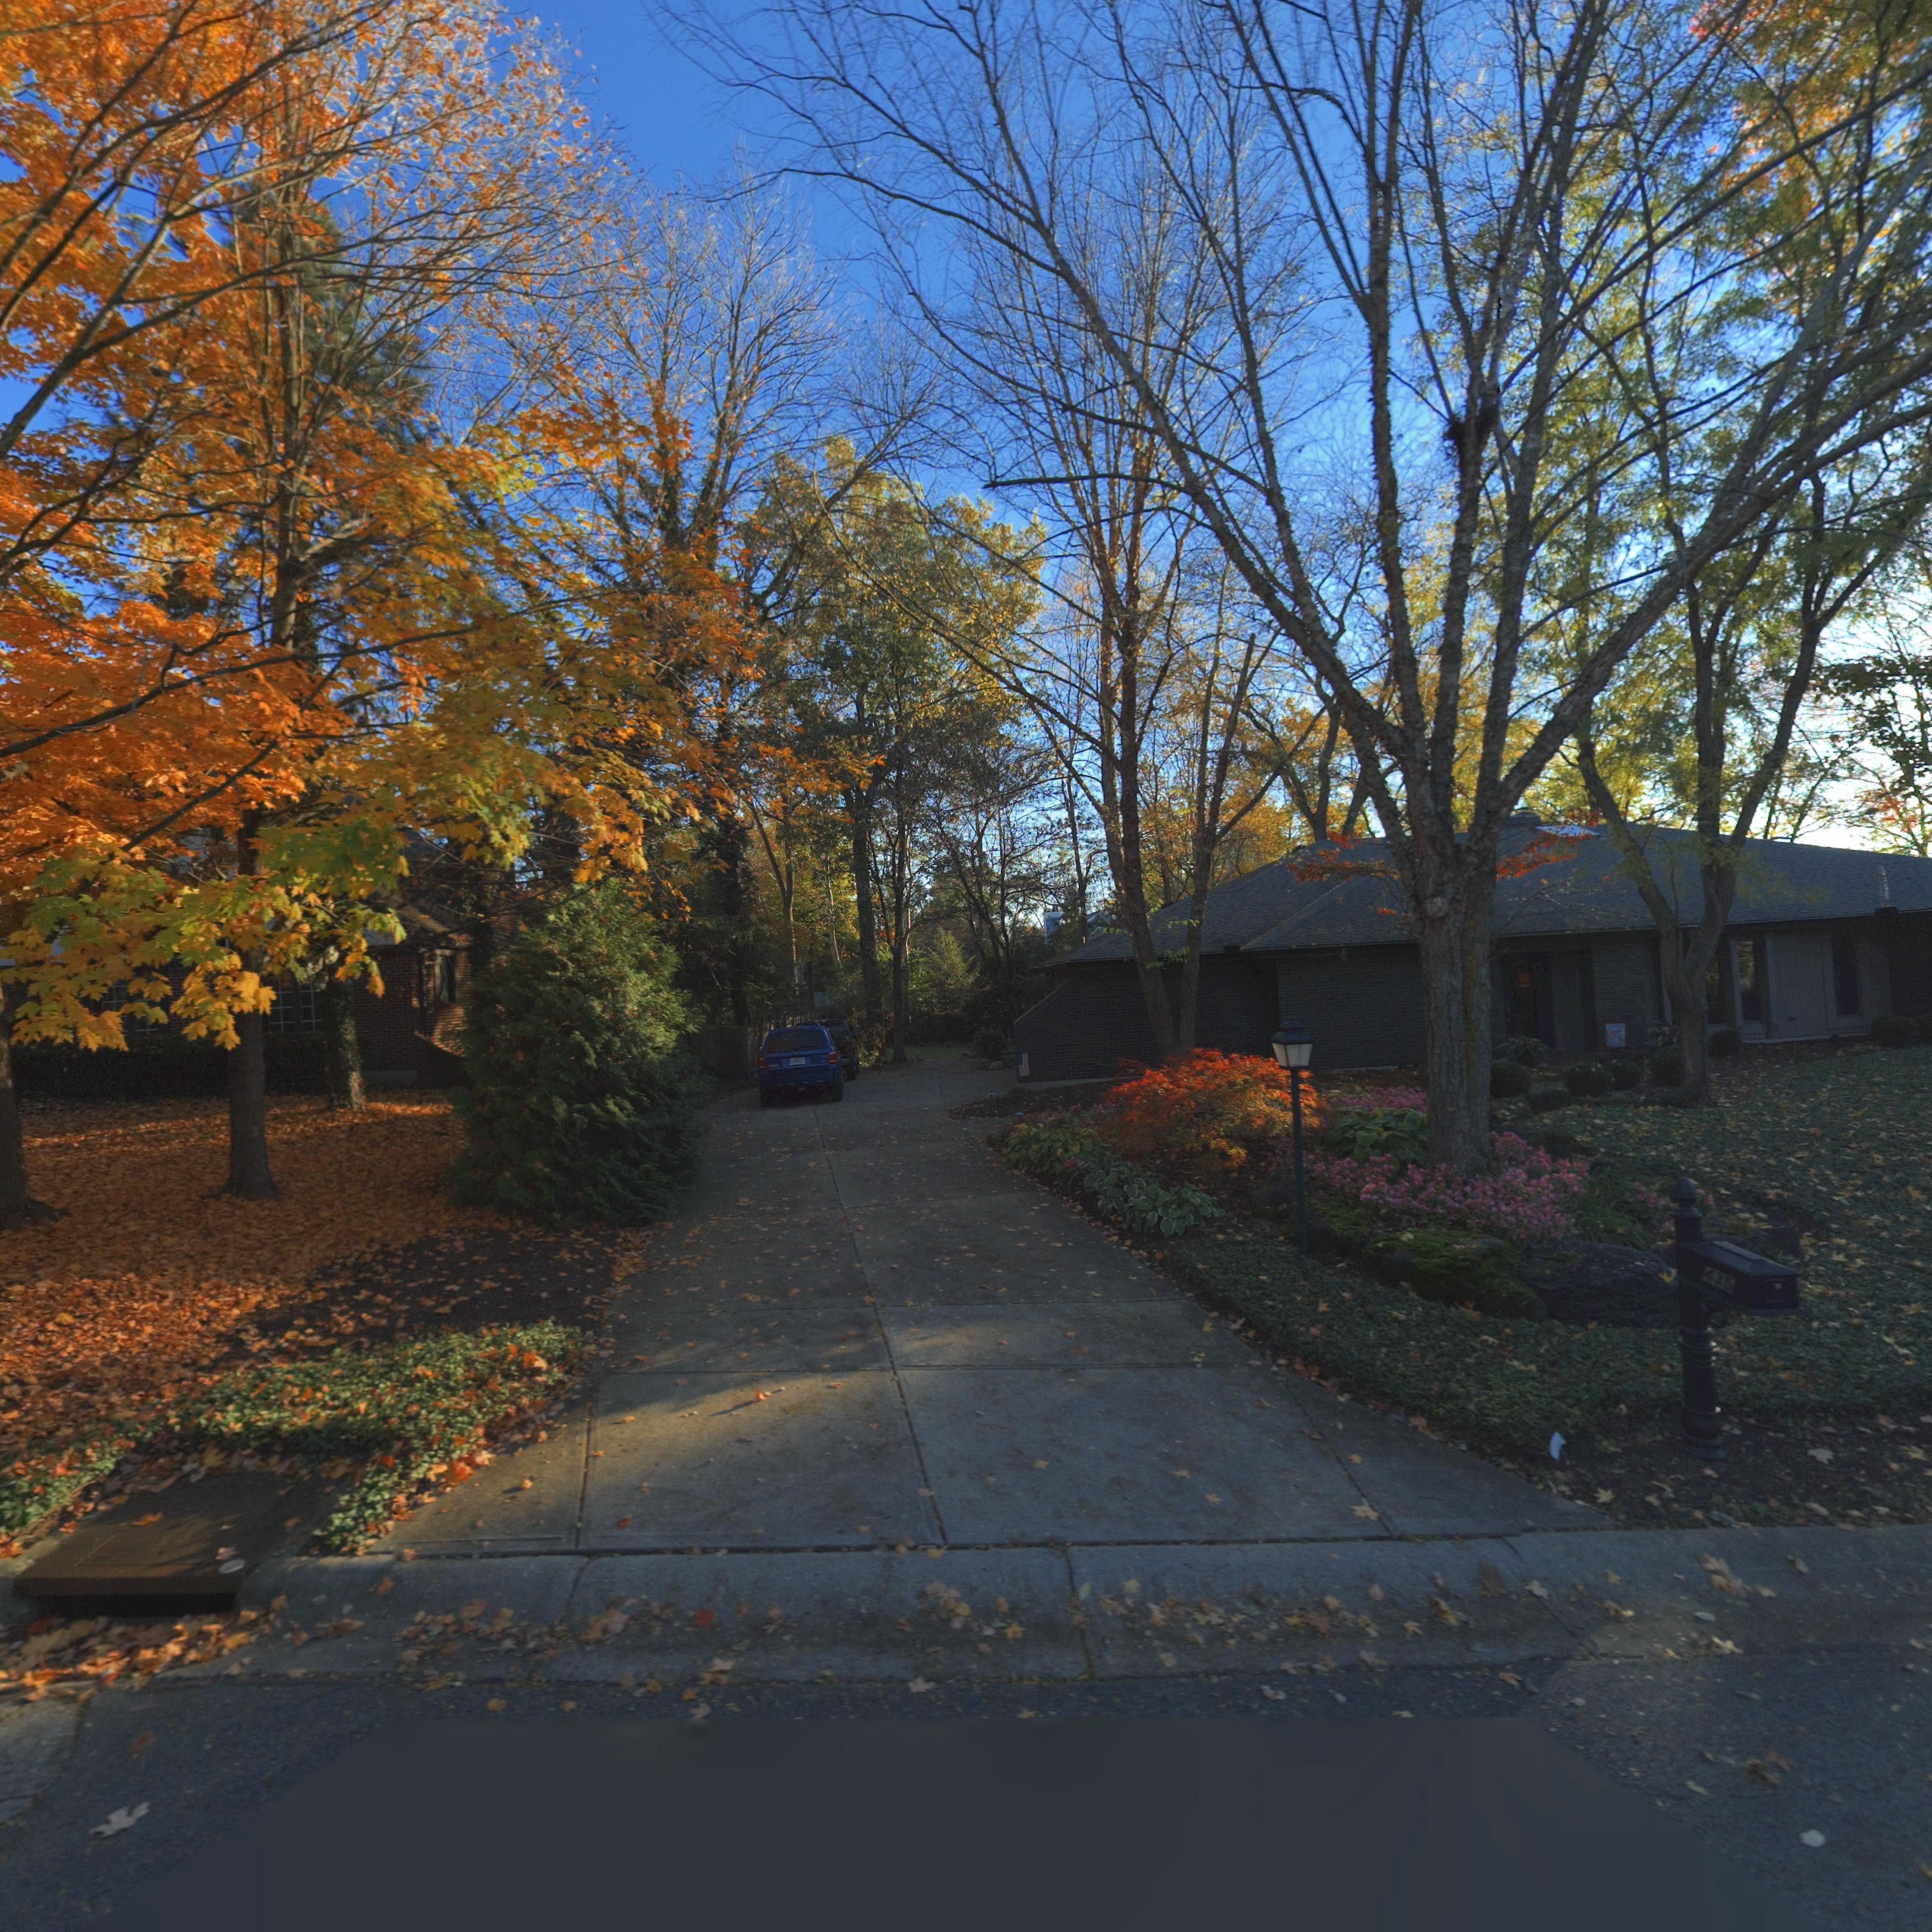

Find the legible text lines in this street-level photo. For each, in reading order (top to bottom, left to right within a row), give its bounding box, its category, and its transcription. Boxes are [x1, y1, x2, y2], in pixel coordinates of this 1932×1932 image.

[1704, 1266, 1735, 1293] StreetNumber: 4*5